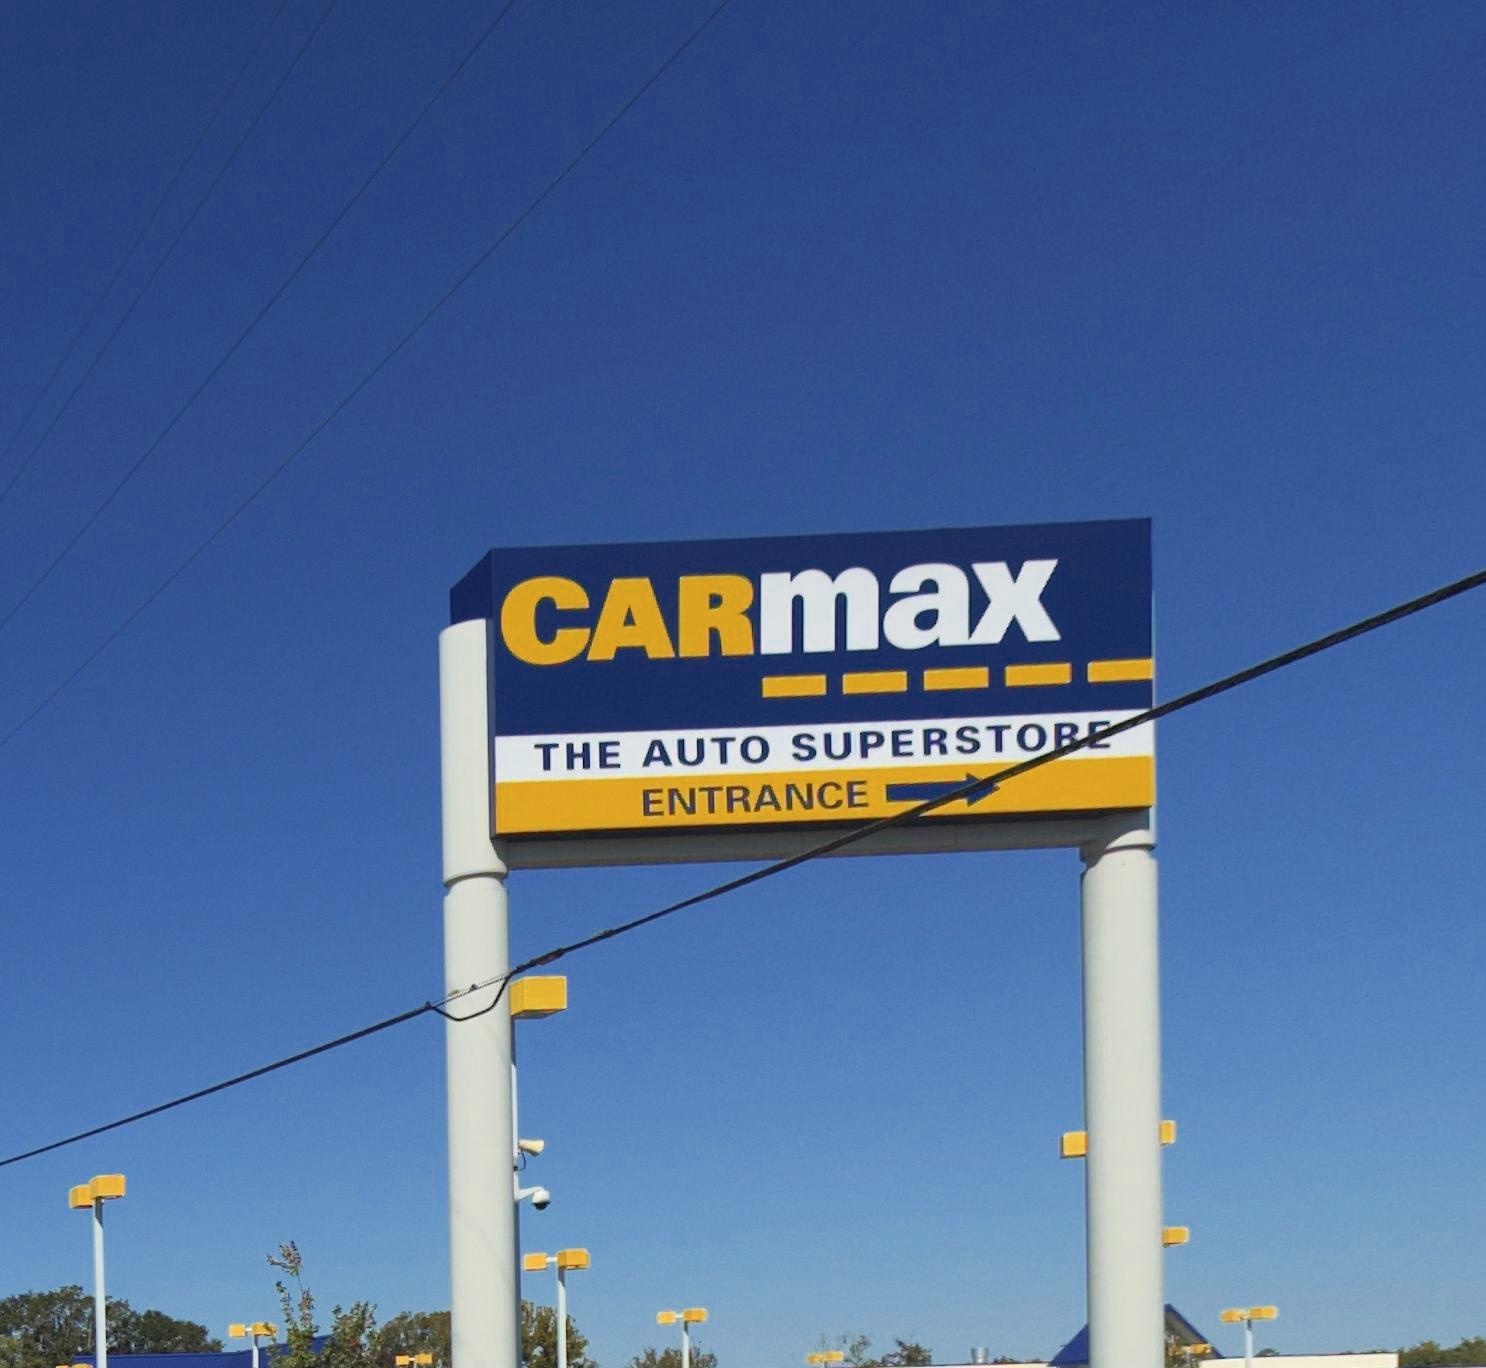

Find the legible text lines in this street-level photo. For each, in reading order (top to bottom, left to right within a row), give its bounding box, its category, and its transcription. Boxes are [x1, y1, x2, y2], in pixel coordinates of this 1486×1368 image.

[496, 552, 1068, 673] BusinessName: CARmax
[529, 715, 1118, 776] None: THE AUTO SUPERSTO**
[639, 776, 873, 820] None: ENTRANCE